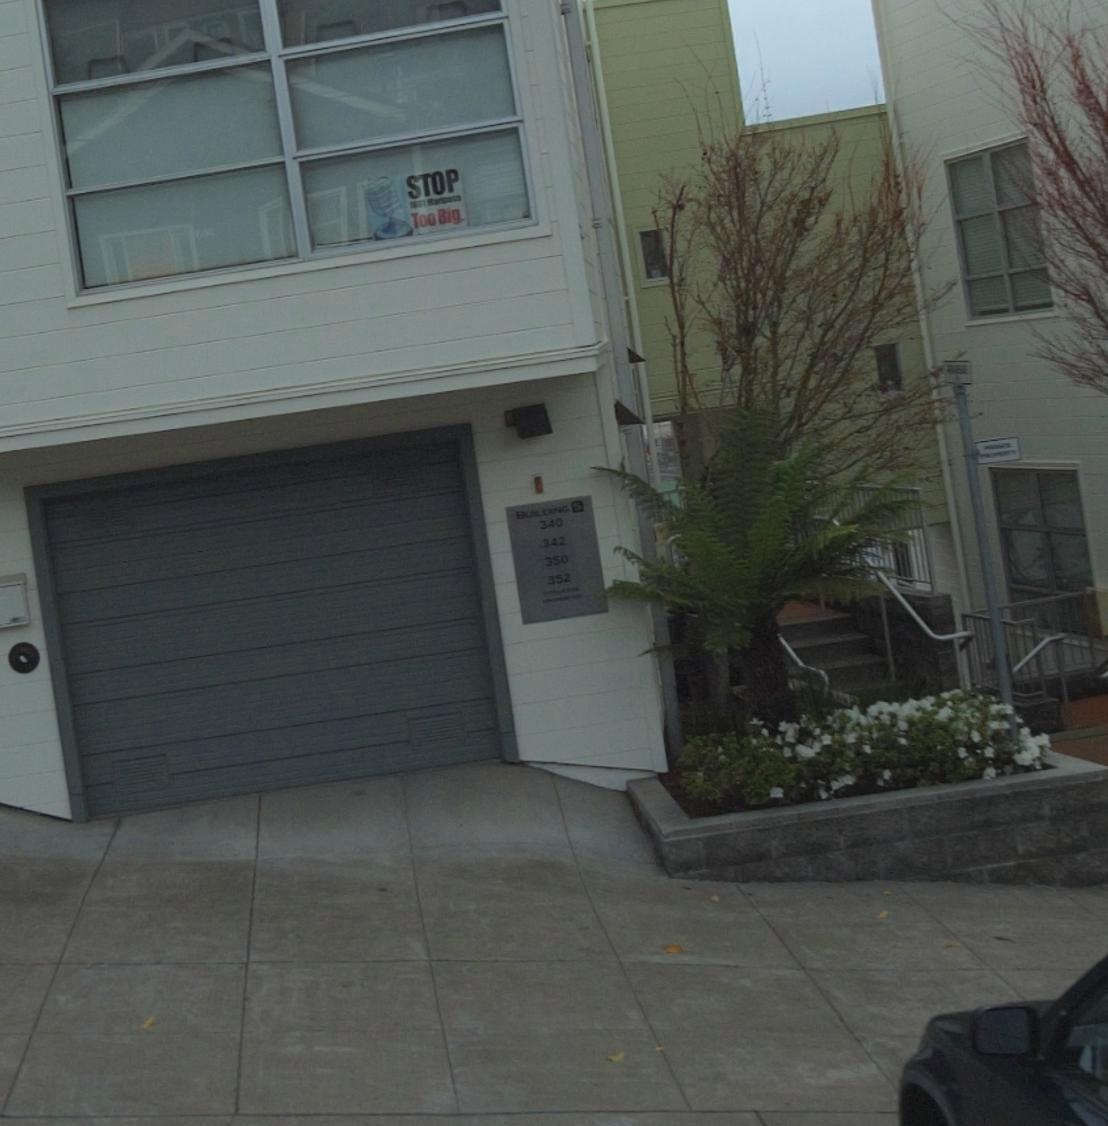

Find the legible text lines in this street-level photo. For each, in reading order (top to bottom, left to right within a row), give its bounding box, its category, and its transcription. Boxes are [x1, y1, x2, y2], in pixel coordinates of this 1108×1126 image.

[405, 166, 463, 201] None: STOP
[410, 204, 467, 231] None: TooBig.
[982, 442, 1011, 451] None: PRIVATE
[978, 448, 1018, 459] None: PROPERTY
[515, 501, 582, 521] None: BUILDING 6
[538, 517, 564, 531] StreetNumber: 340
[541, 535, 568, 550] StreetNumber: 342
[544, 553, 569, 567] StreetNumber: 350
[546, 571, 571, 585] StreetNumber: 352